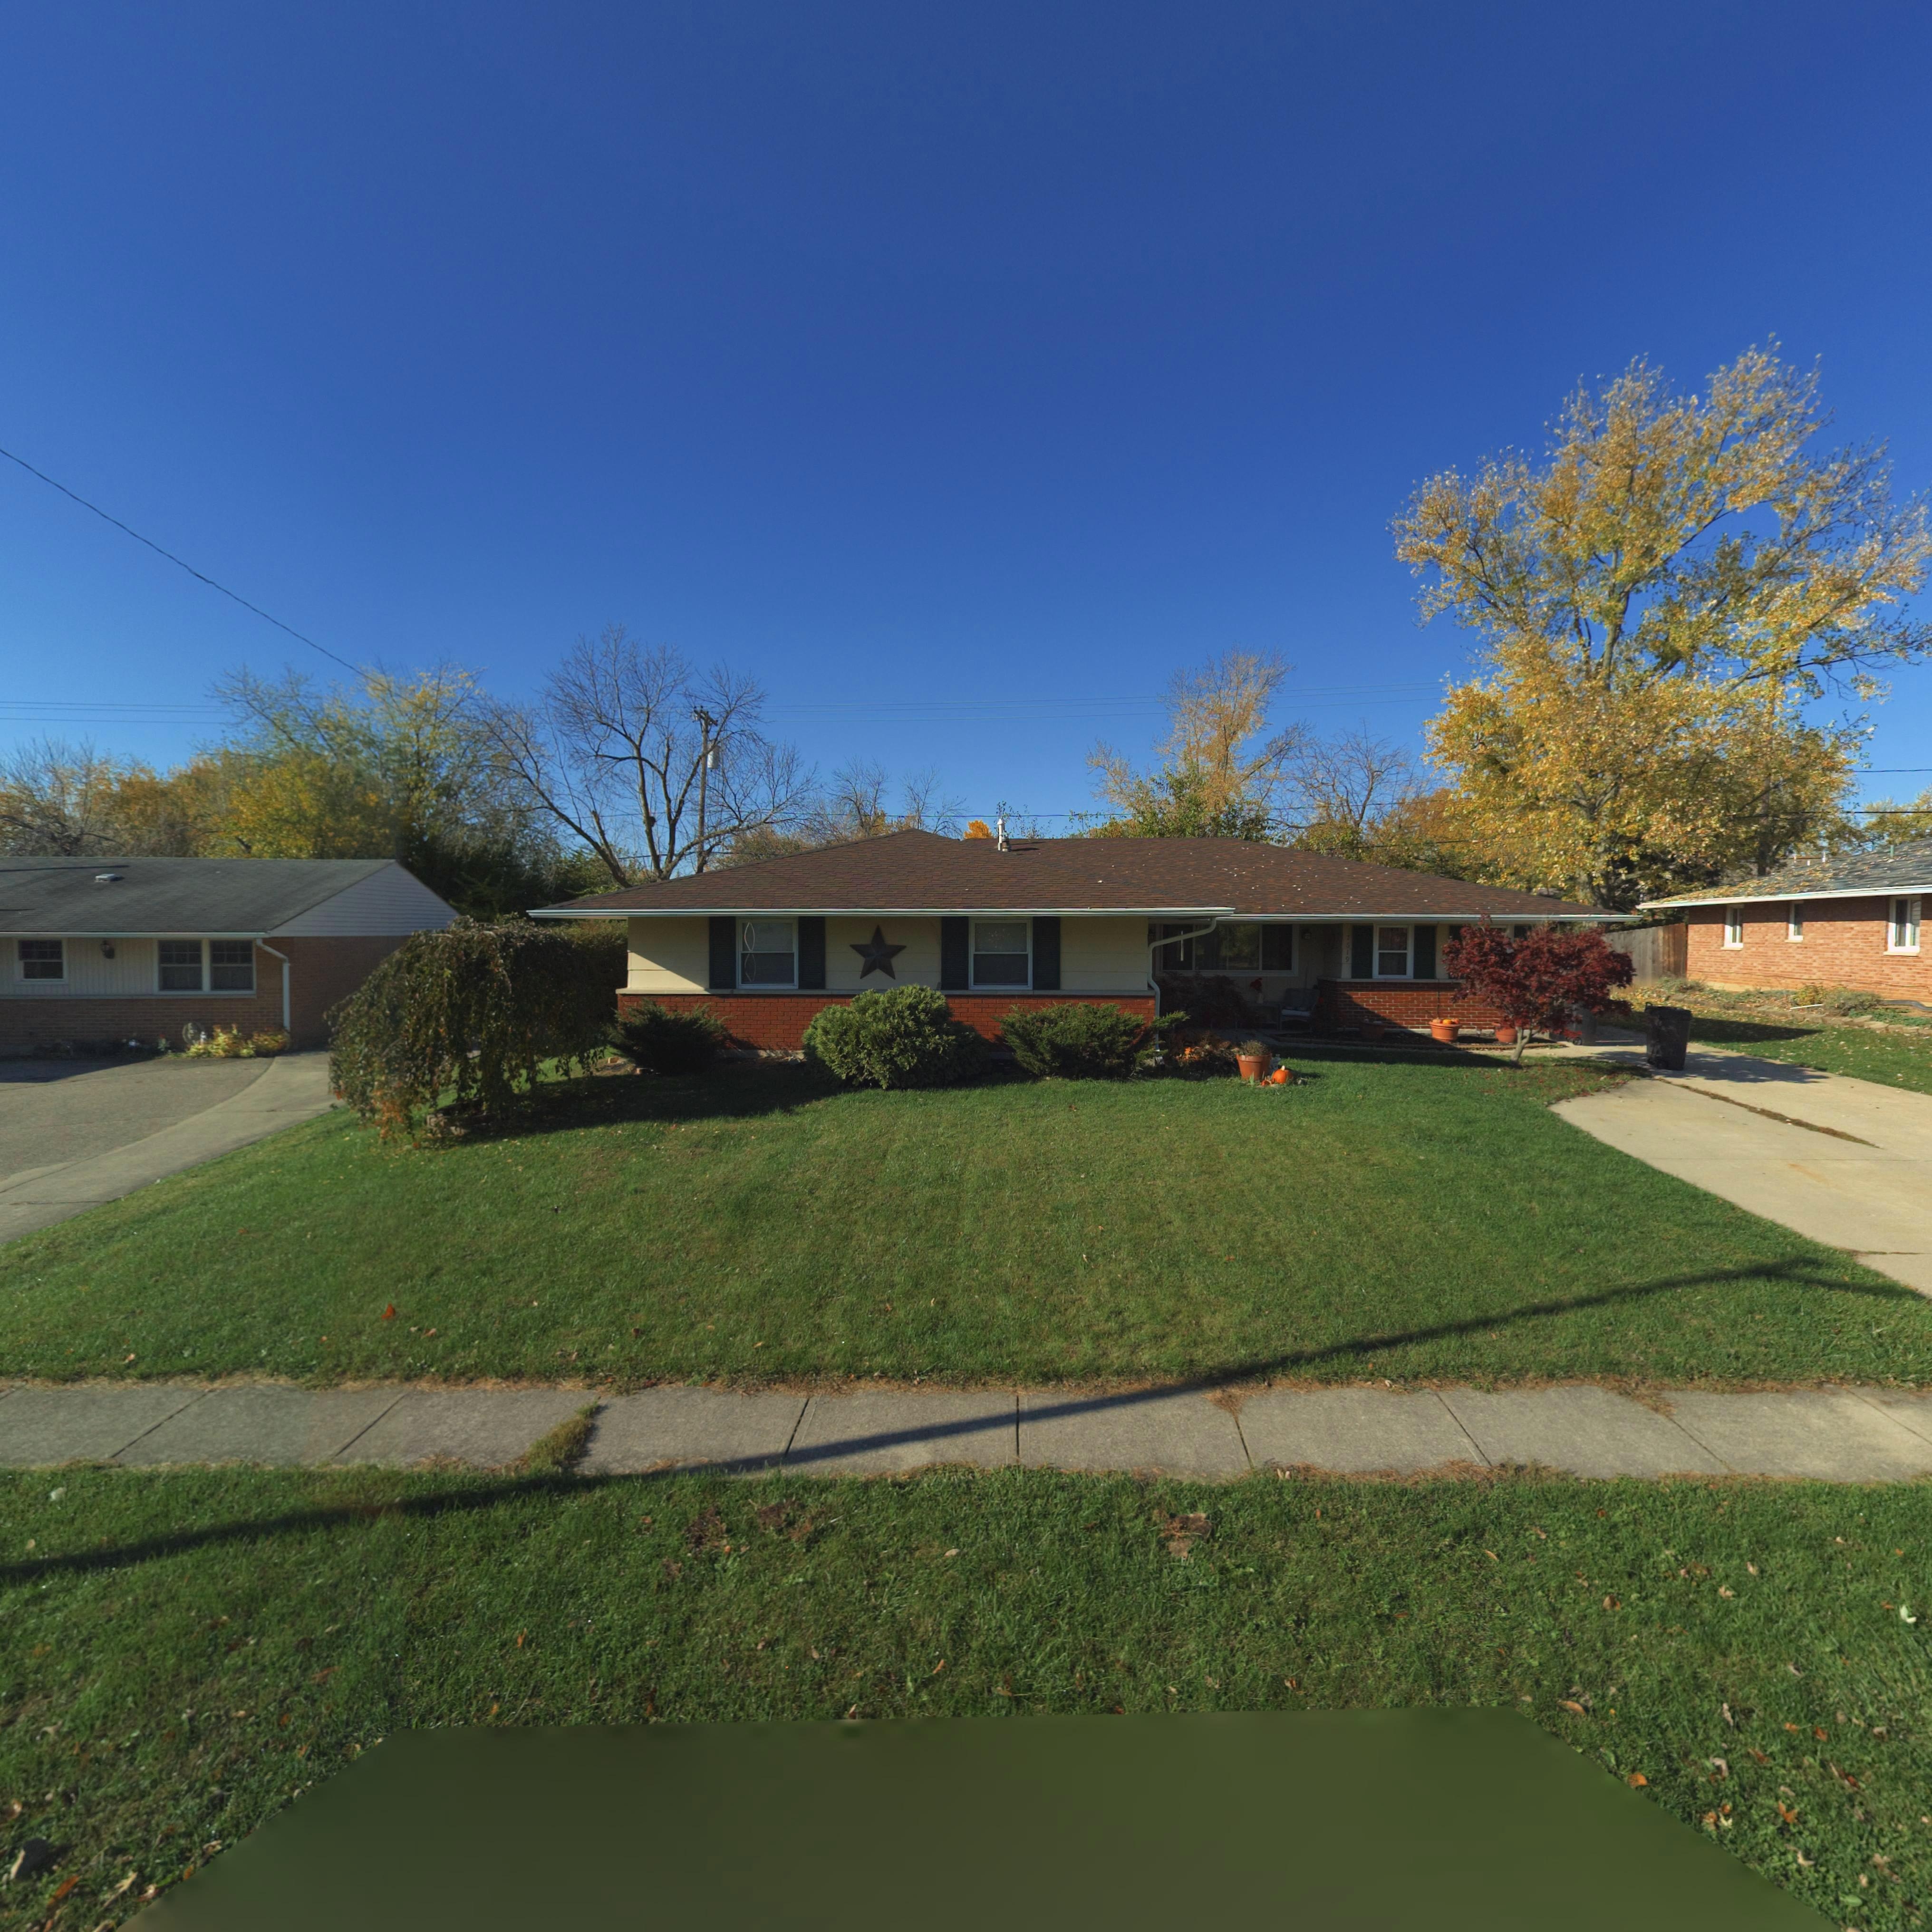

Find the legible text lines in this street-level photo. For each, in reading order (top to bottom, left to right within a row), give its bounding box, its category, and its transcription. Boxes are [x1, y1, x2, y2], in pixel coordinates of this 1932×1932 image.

[1344, 934, 1351, 963] StreetNumber: 7619